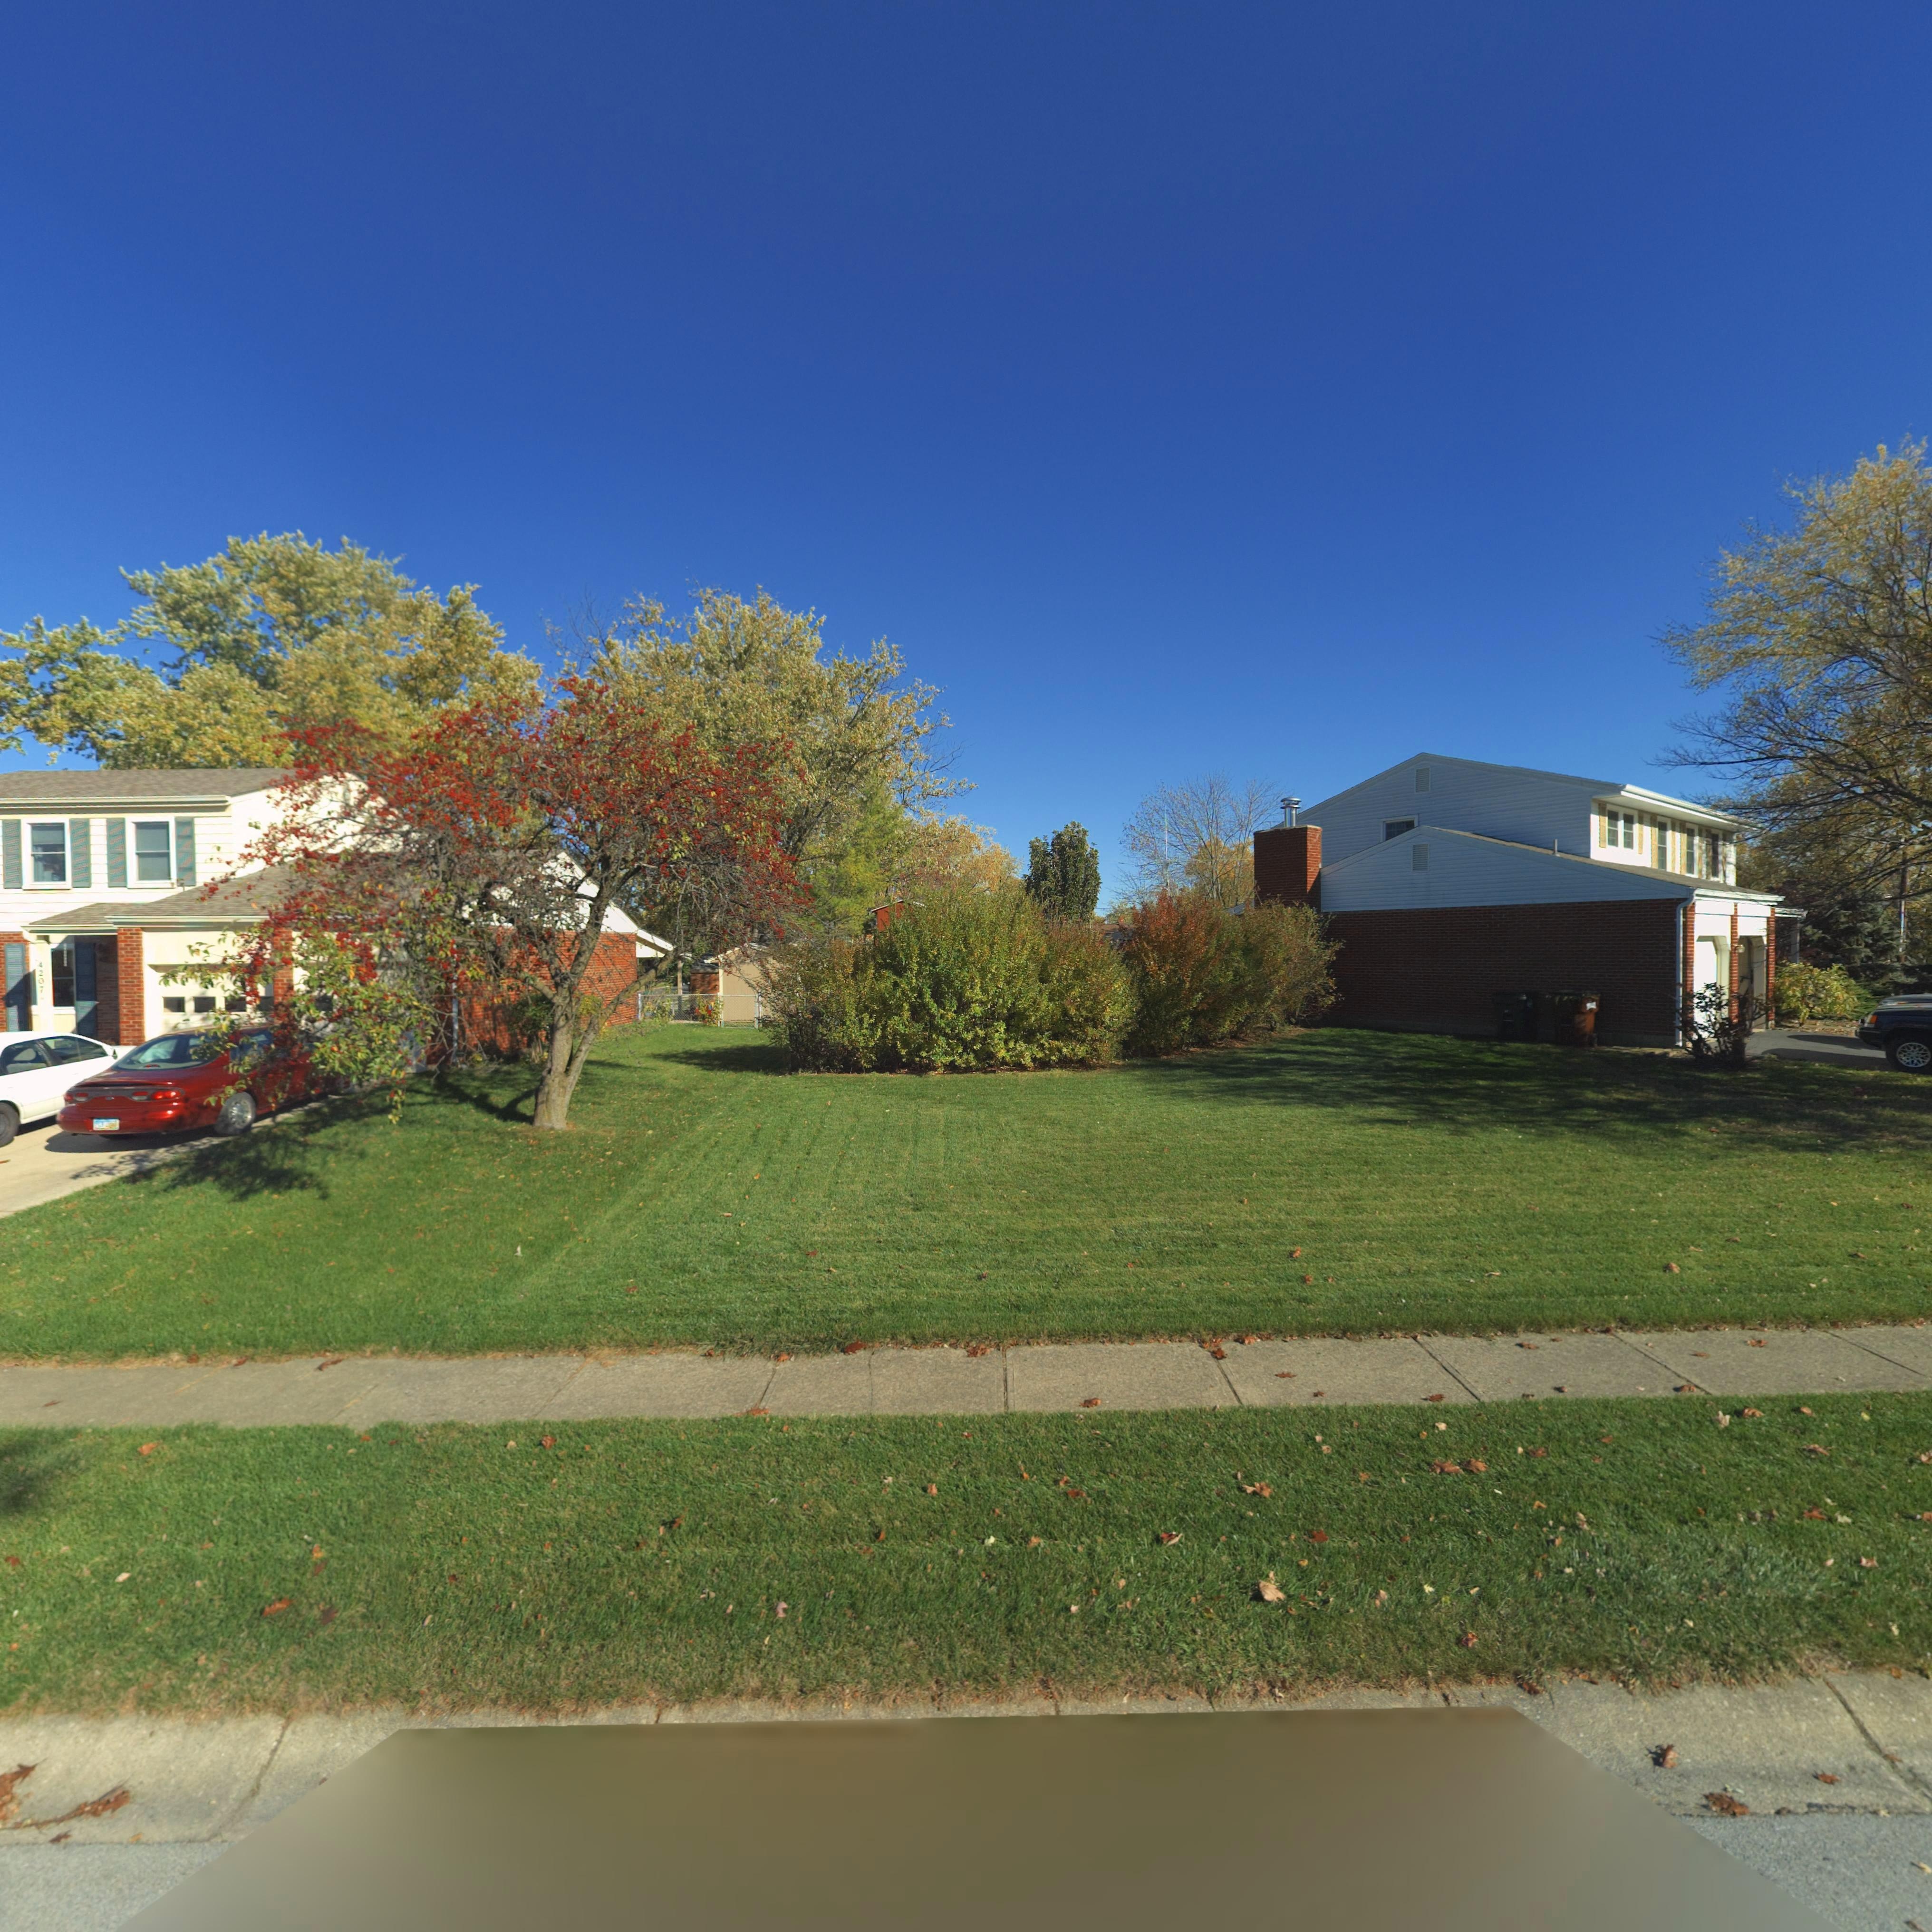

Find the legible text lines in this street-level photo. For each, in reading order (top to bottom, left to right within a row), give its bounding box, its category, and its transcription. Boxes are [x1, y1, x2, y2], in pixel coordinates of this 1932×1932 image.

[37, 960, 46, 994] StreetNumber: 4207